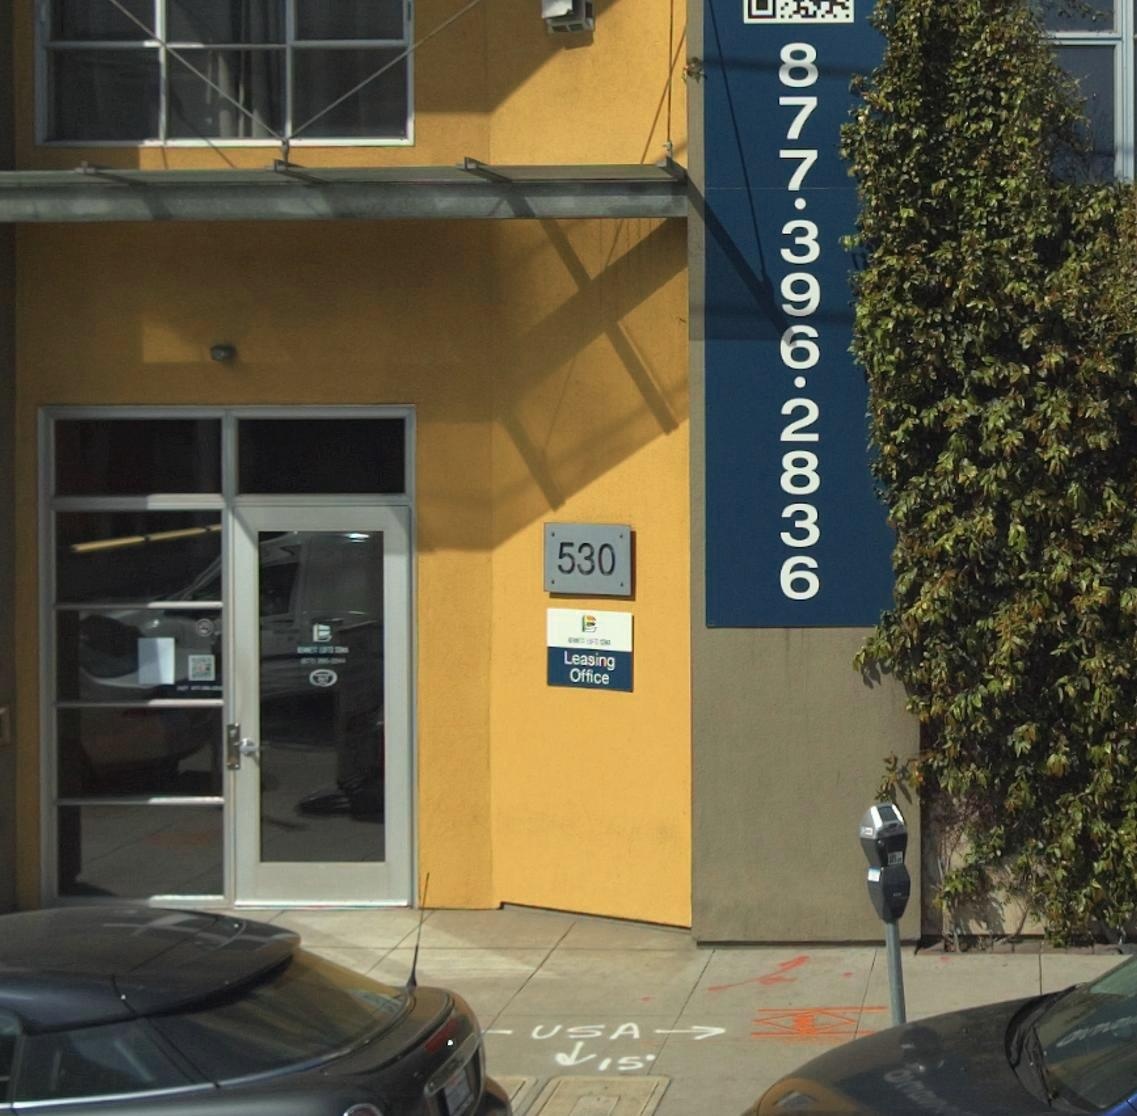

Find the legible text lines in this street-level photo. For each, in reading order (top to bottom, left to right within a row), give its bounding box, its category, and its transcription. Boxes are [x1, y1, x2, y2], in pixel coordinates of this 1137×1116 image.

[775, 34, 824, 610] None: 877*396*2836
[554, 536, 619, 578] StreetNumber: 530
[560, 644, 619, 674] None: Leasing
[563, 663, 612, 691] None: Office
[522, 1017, 644, 1044] None: USA
[589, 1051, 649, 1075] None: 15